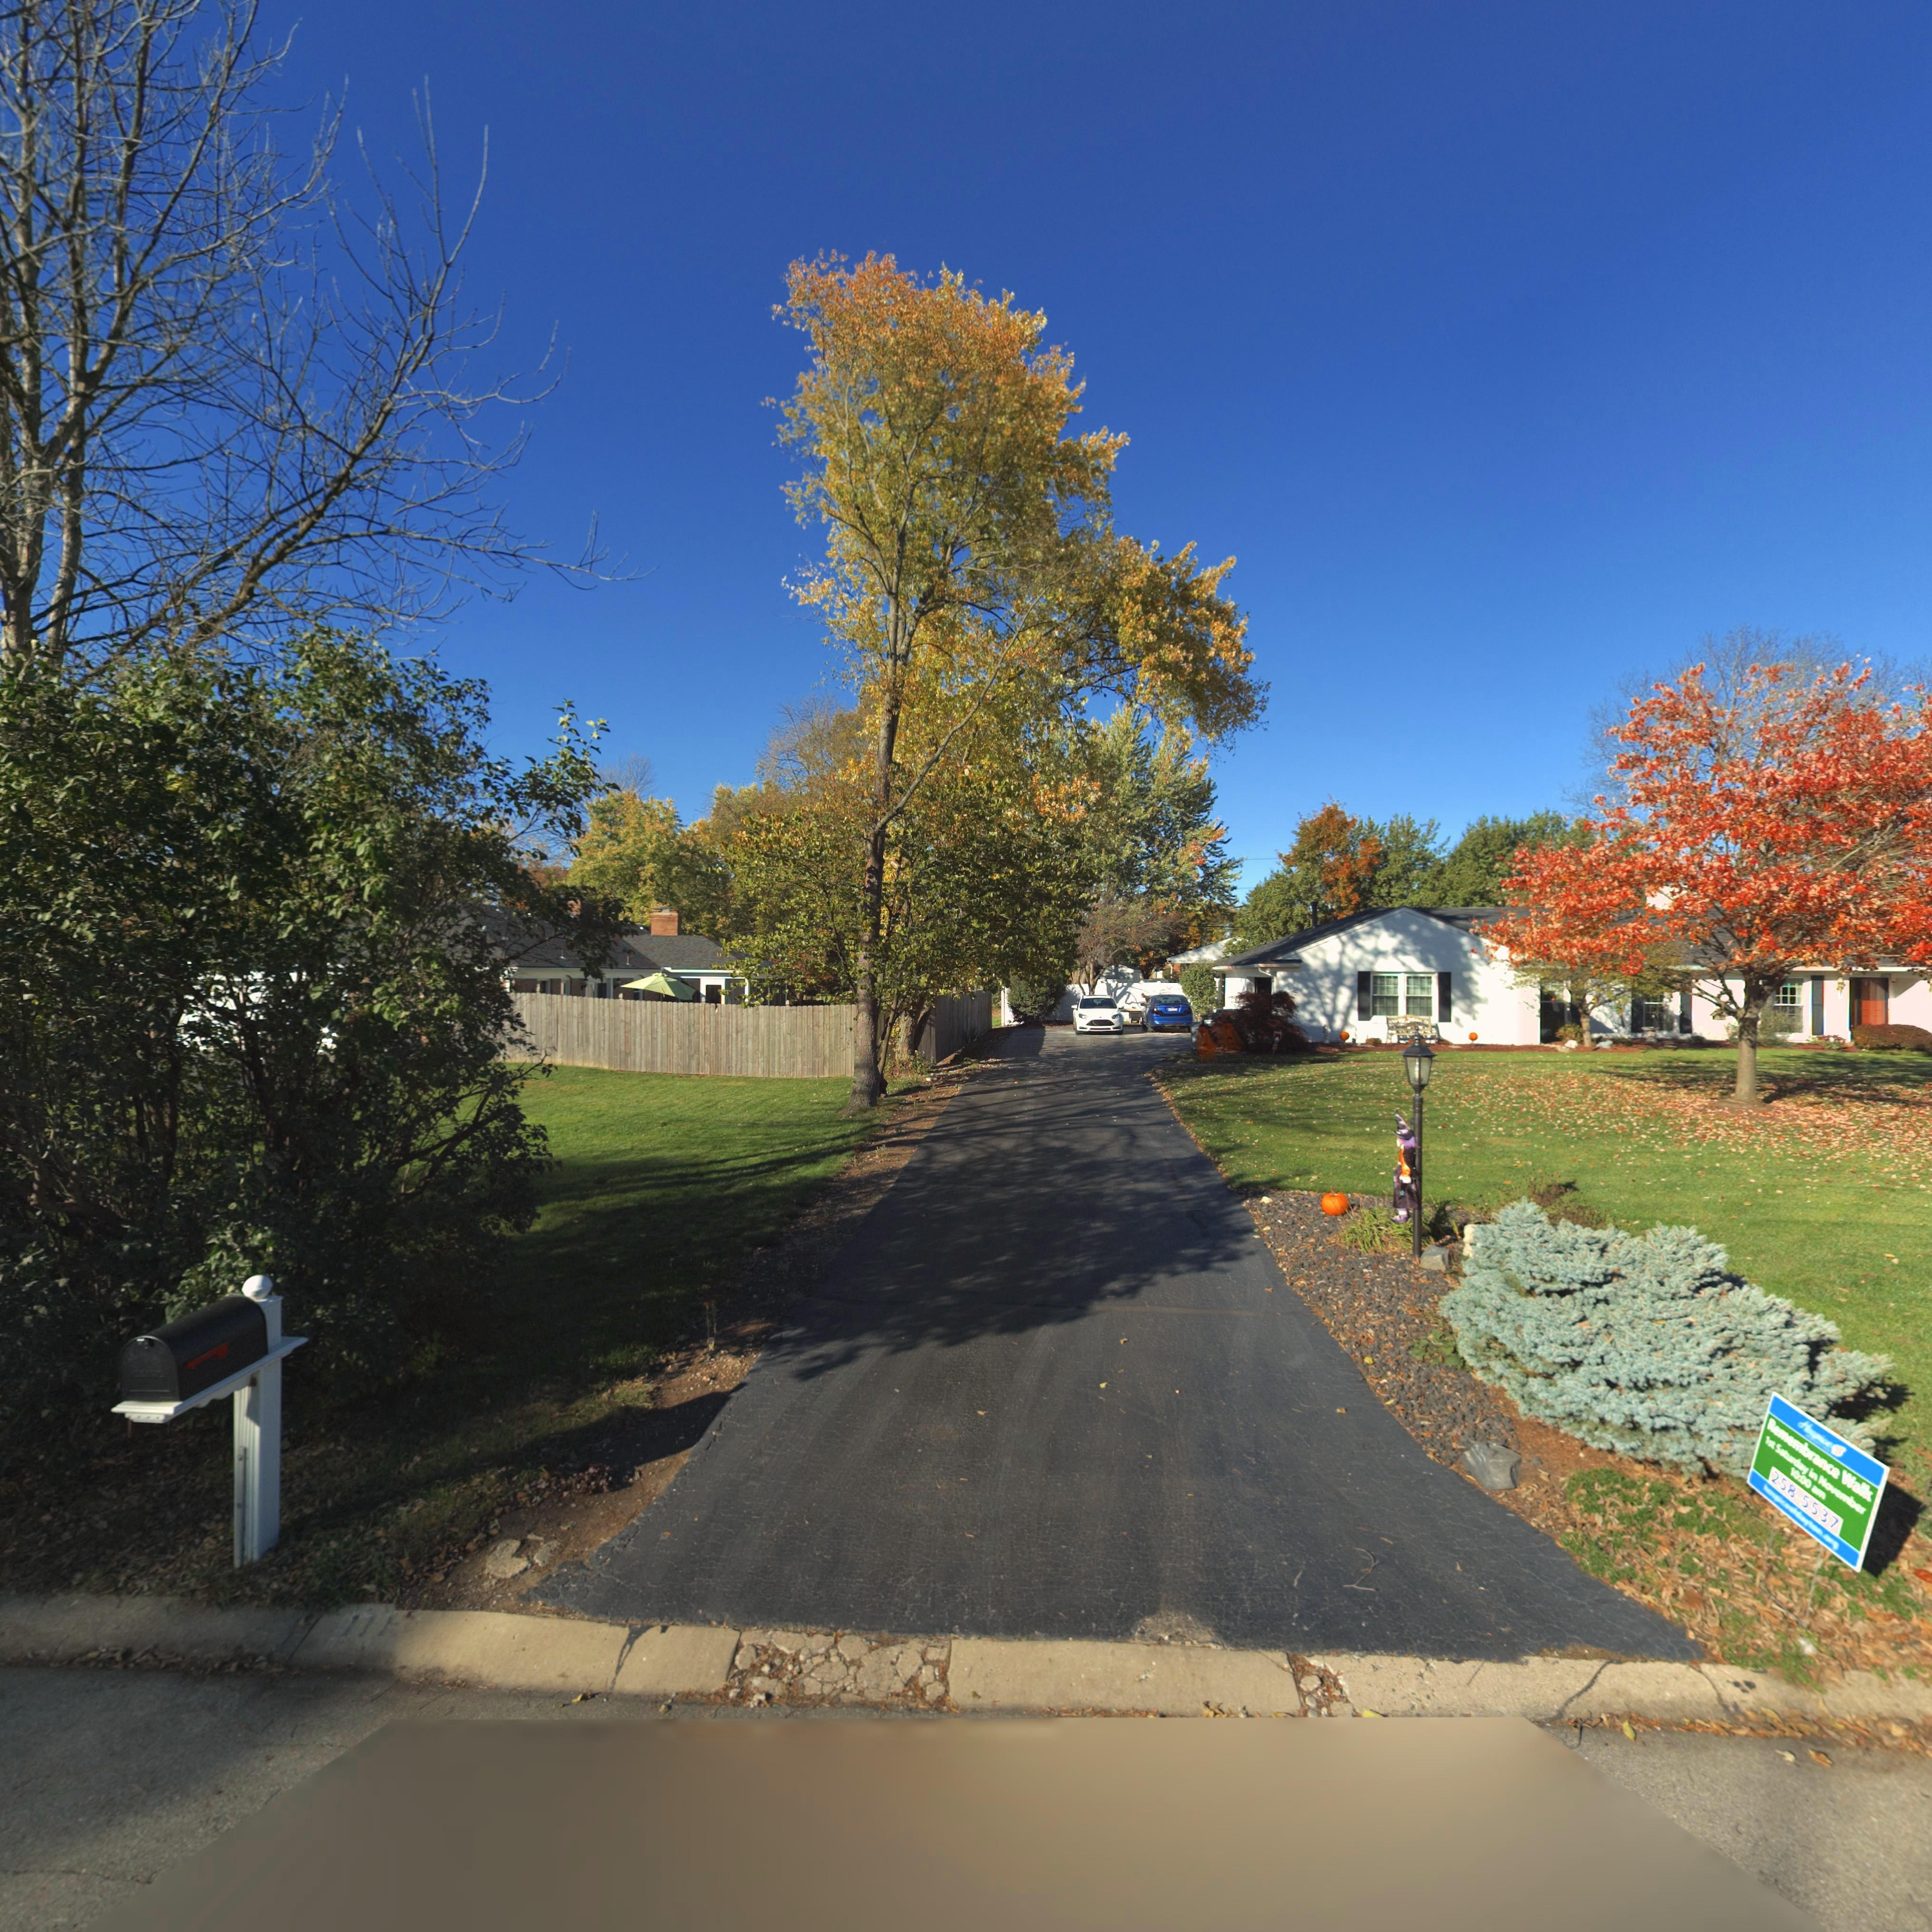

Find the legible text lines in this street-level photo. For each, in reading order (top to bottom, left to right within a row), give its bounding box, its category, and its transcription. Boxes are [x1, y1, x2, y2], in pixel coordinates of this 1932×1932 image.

[1769, 1469, 1841, 1530] None: 258-5537
[1789, 1465, 1828, 1502] None: 10:00 am
[1797, 1418, 1835, 1449] None: Hospice
[1764, 1433, 1870, 1517] None: 1st Saturday In November
[1765, 1415, 1877, 1505] None: Remembrance Walk
[340, 1613, 395, 1639] StreetNumber: 111